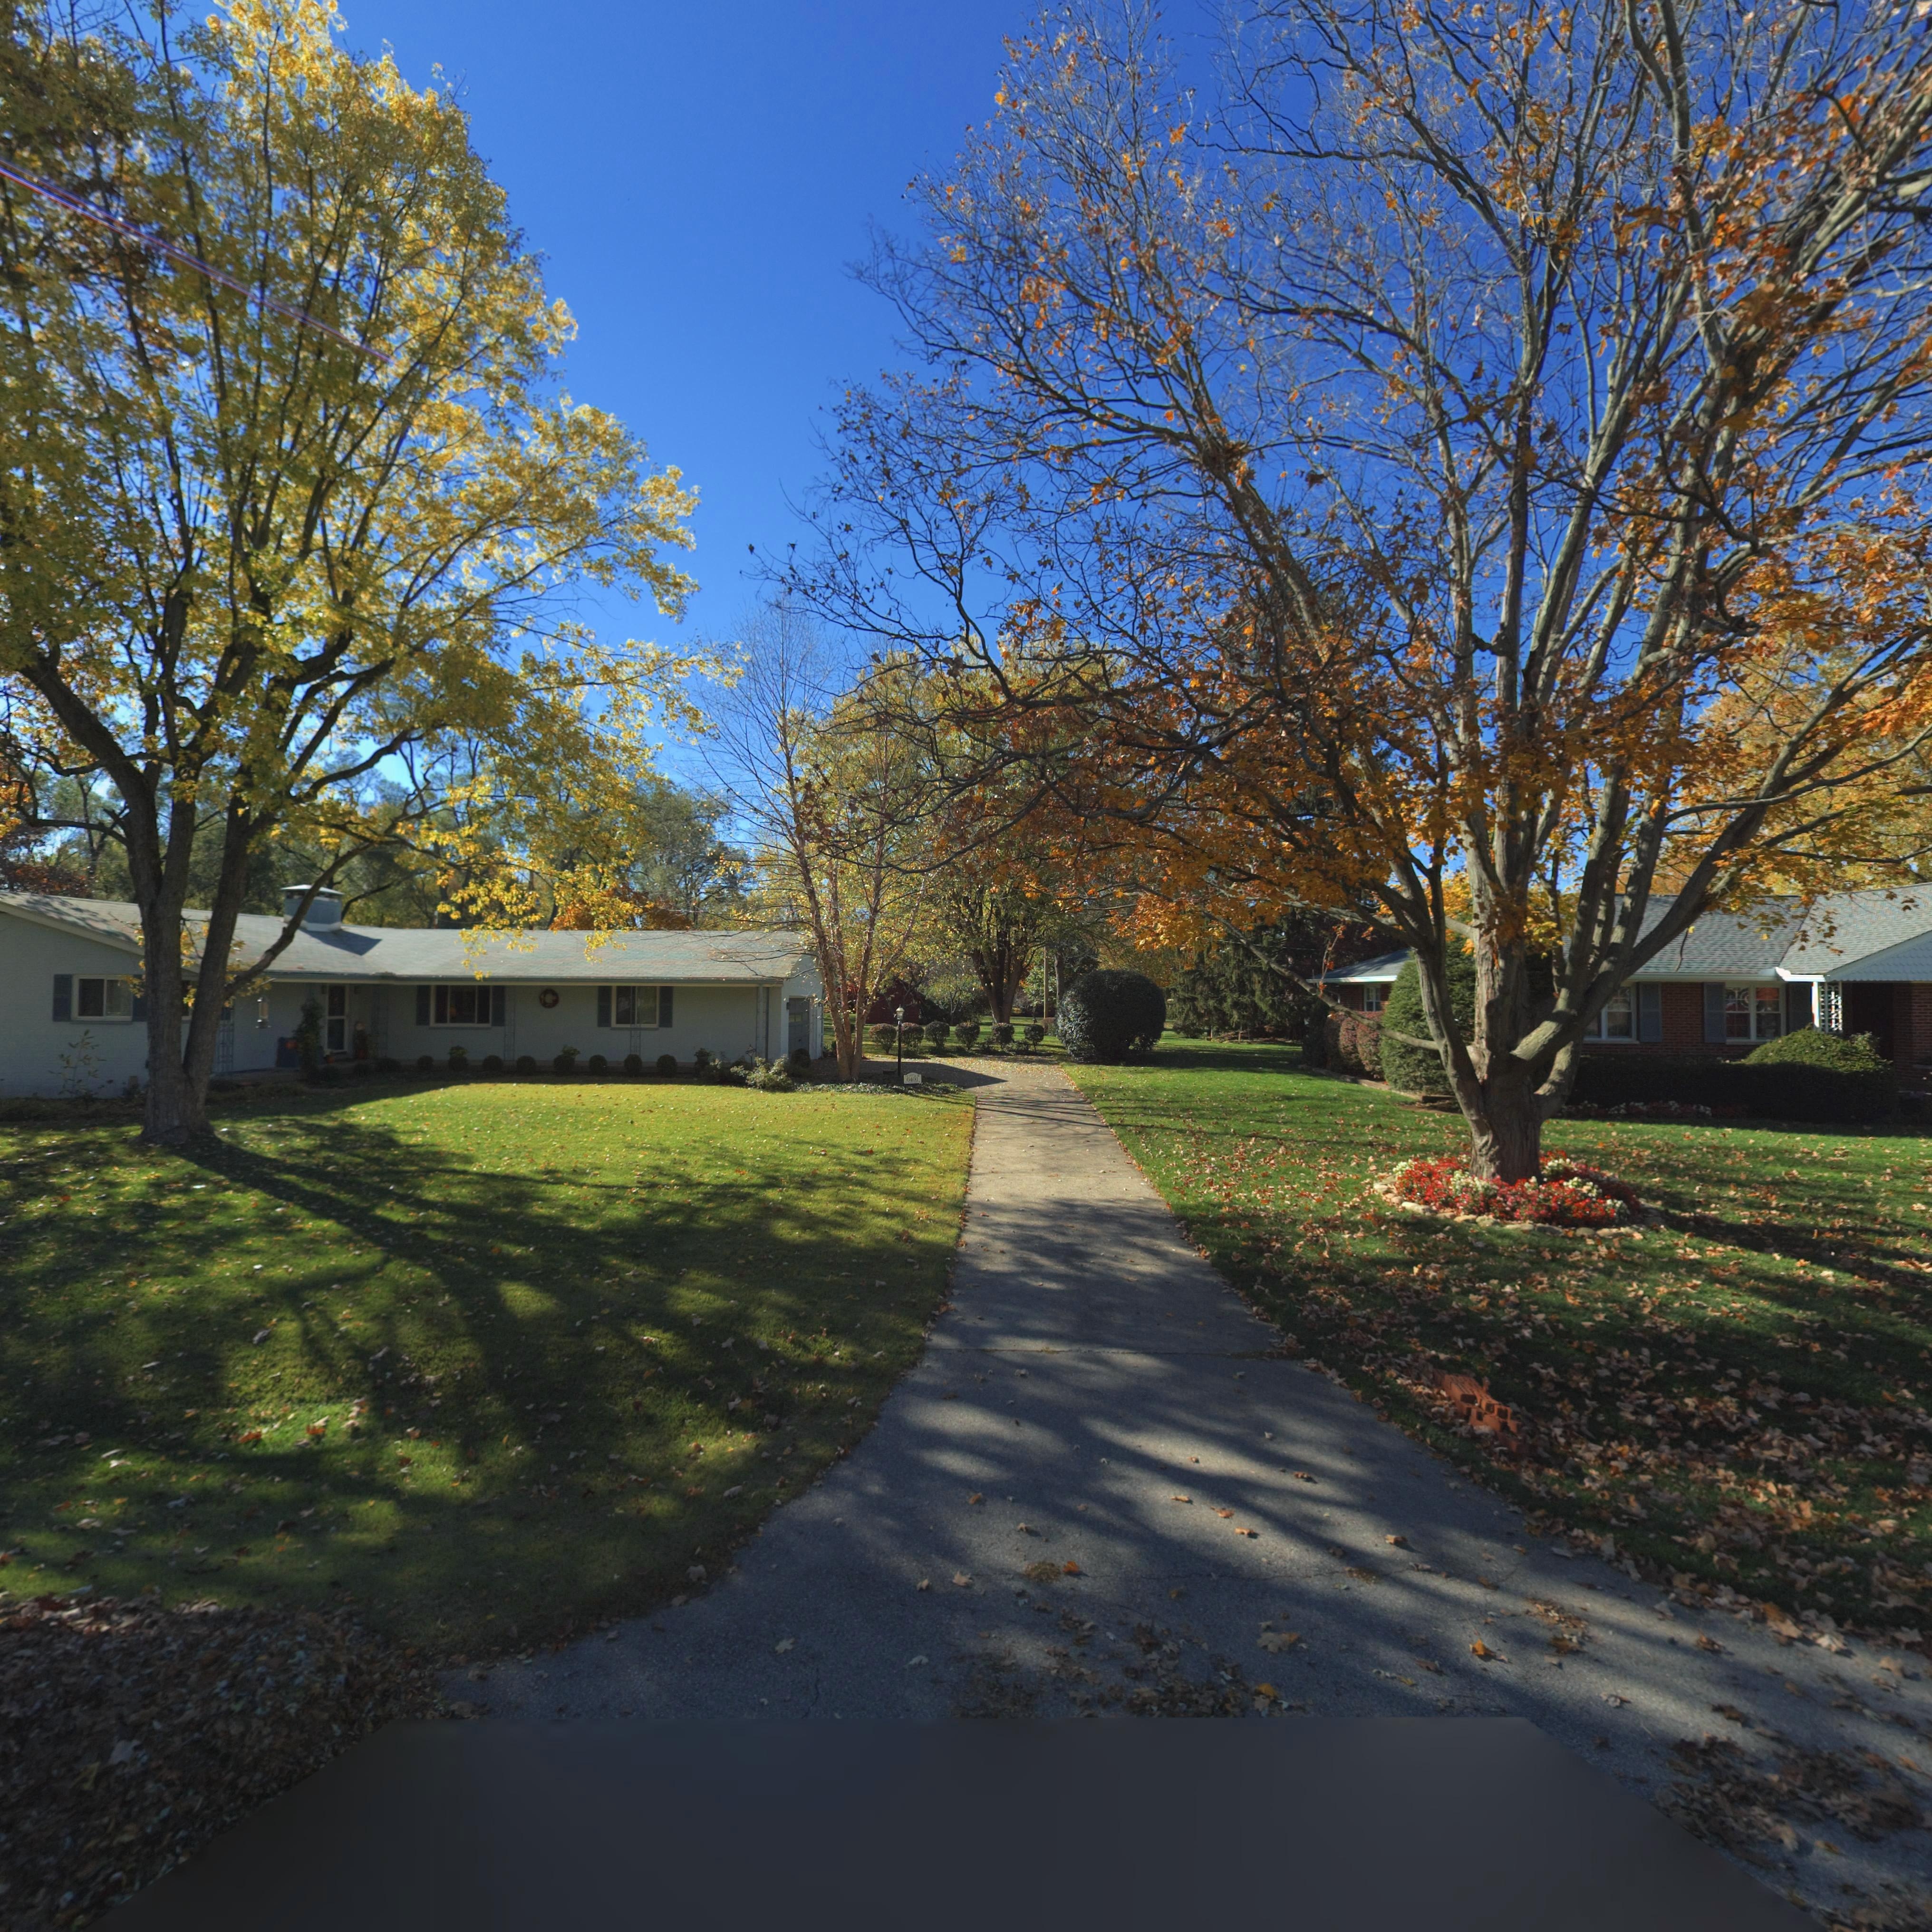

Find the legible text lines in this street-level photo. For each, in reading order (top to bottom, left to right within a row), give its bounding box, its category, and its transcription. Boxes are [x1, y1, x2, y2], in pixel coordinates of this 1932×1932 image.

[906, 1077, 918, 1082] StreetNumber: 6401